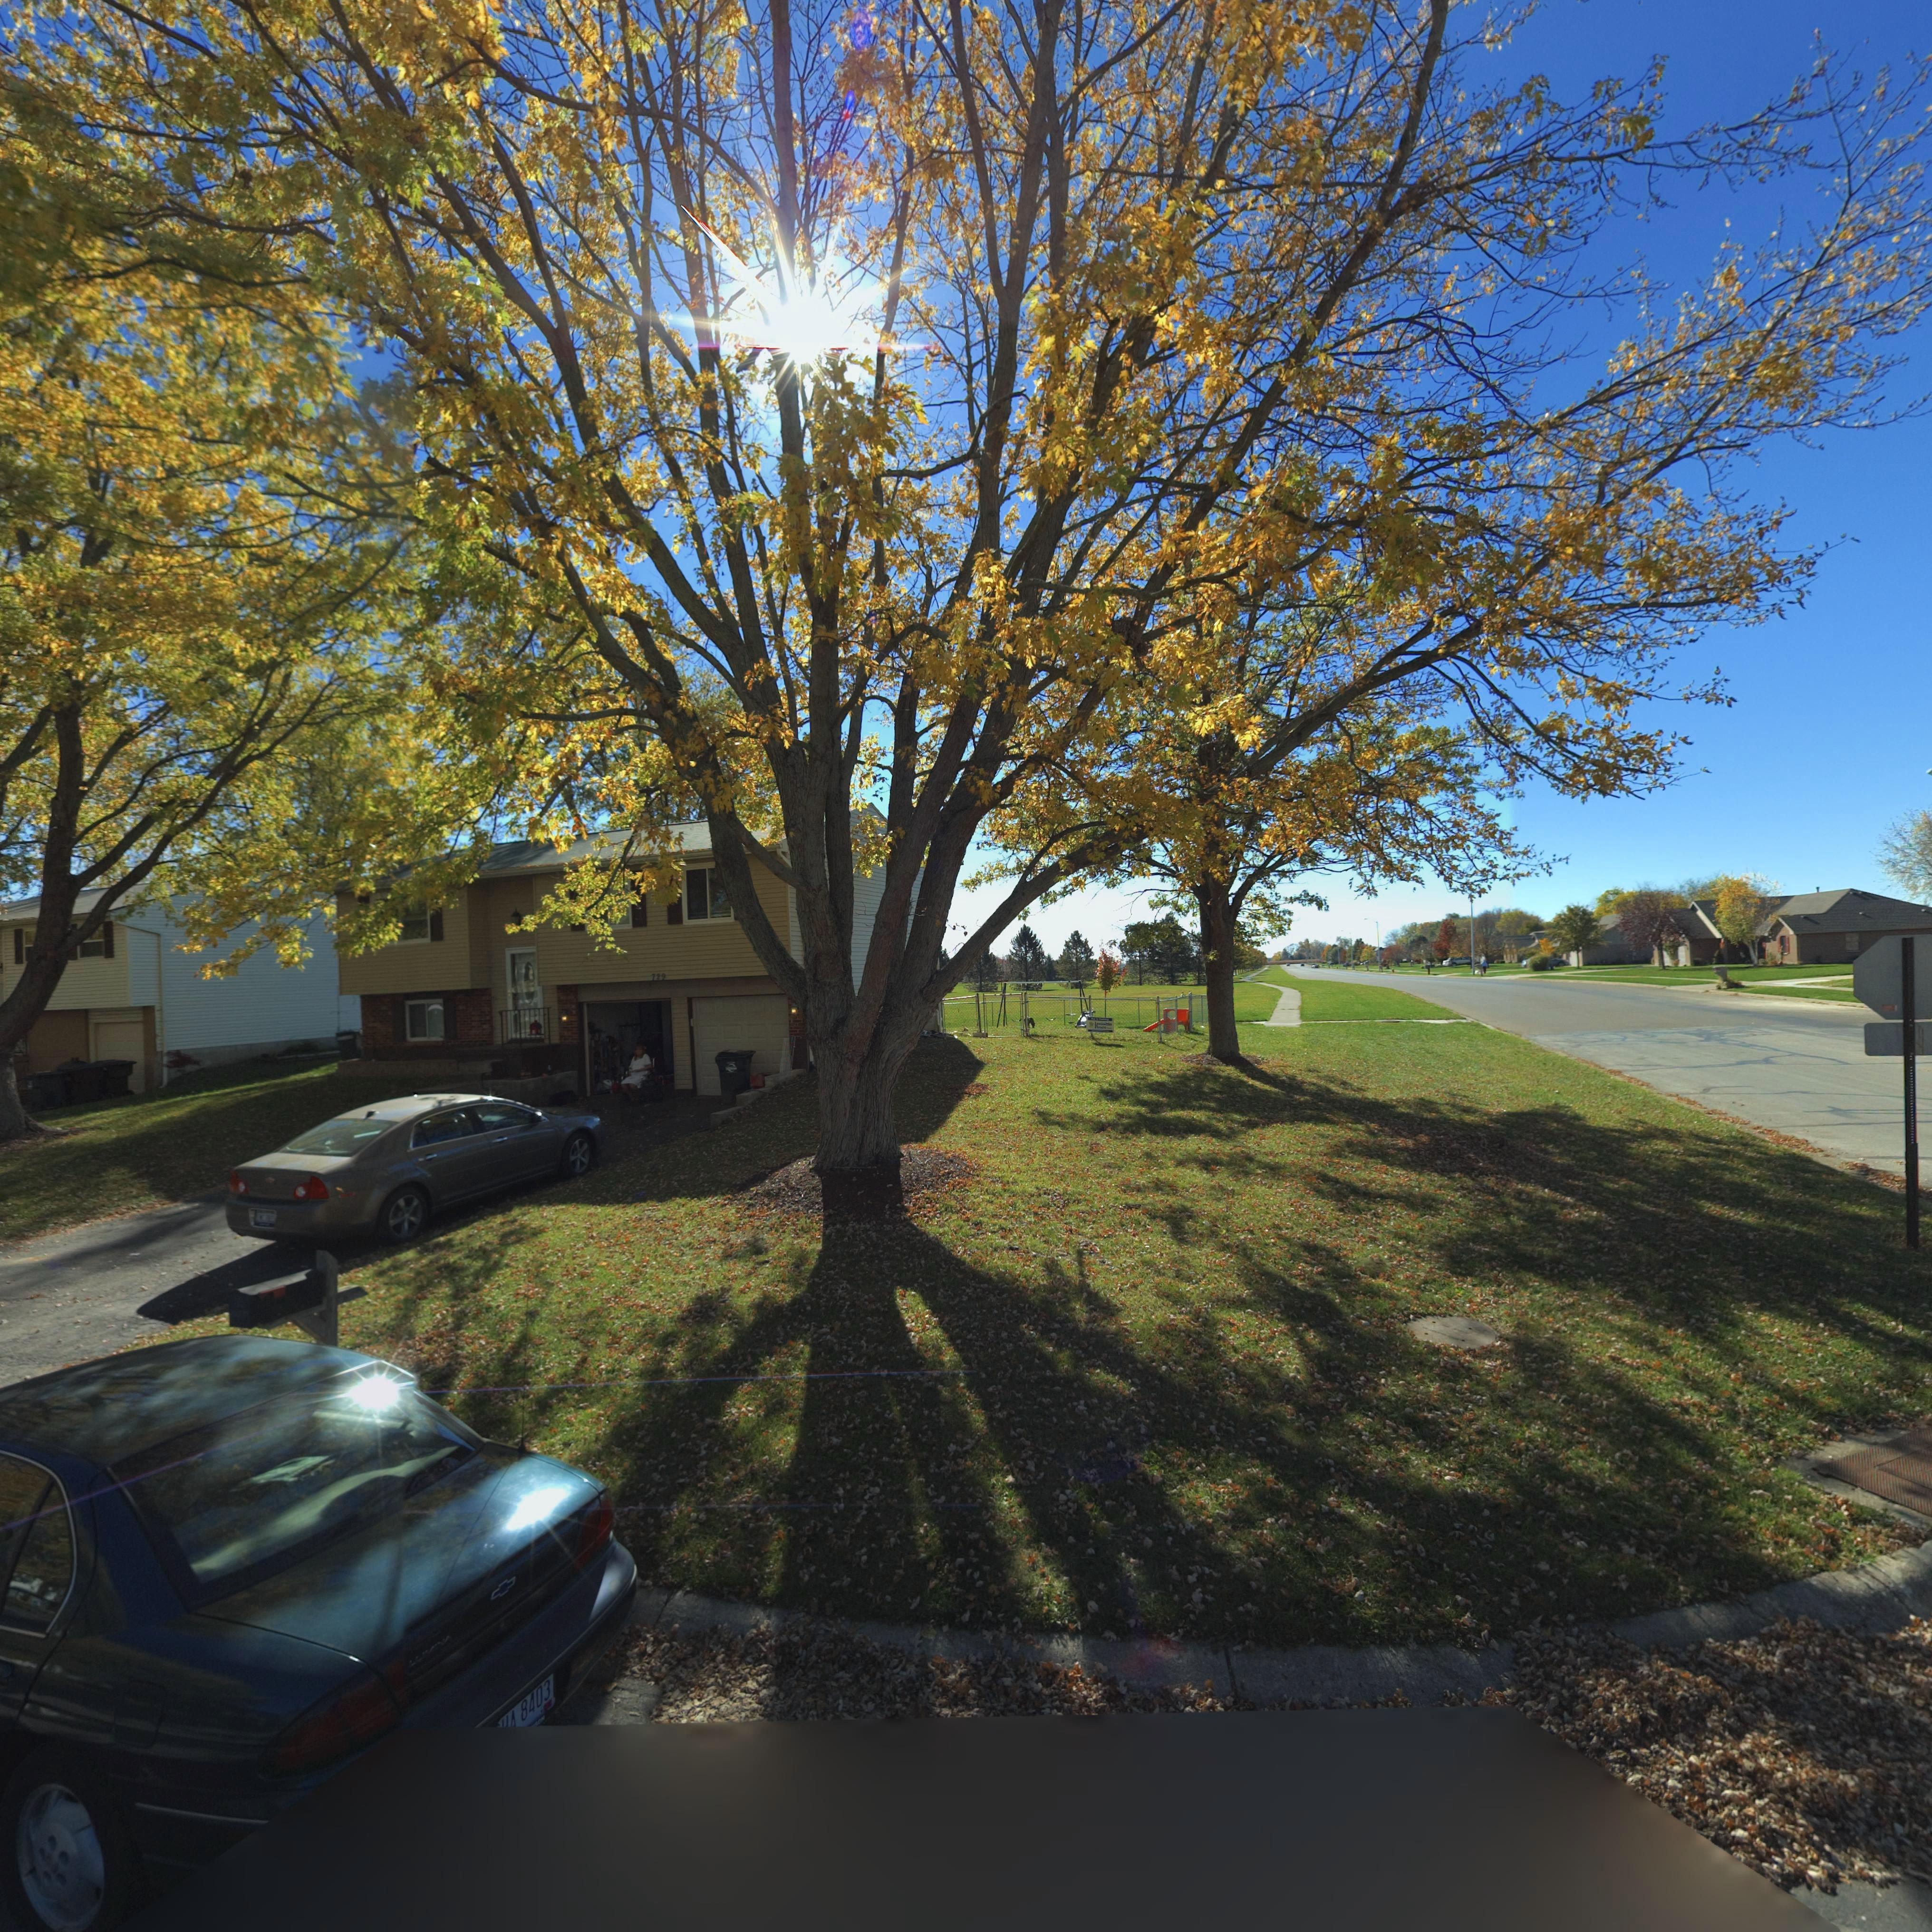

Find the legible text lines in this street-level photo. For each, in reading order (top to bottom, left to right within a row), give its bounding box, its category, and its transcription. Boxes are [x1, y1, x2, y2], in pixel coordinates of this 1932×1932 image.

[651, 973, 667, 981] StreetNumber: 729